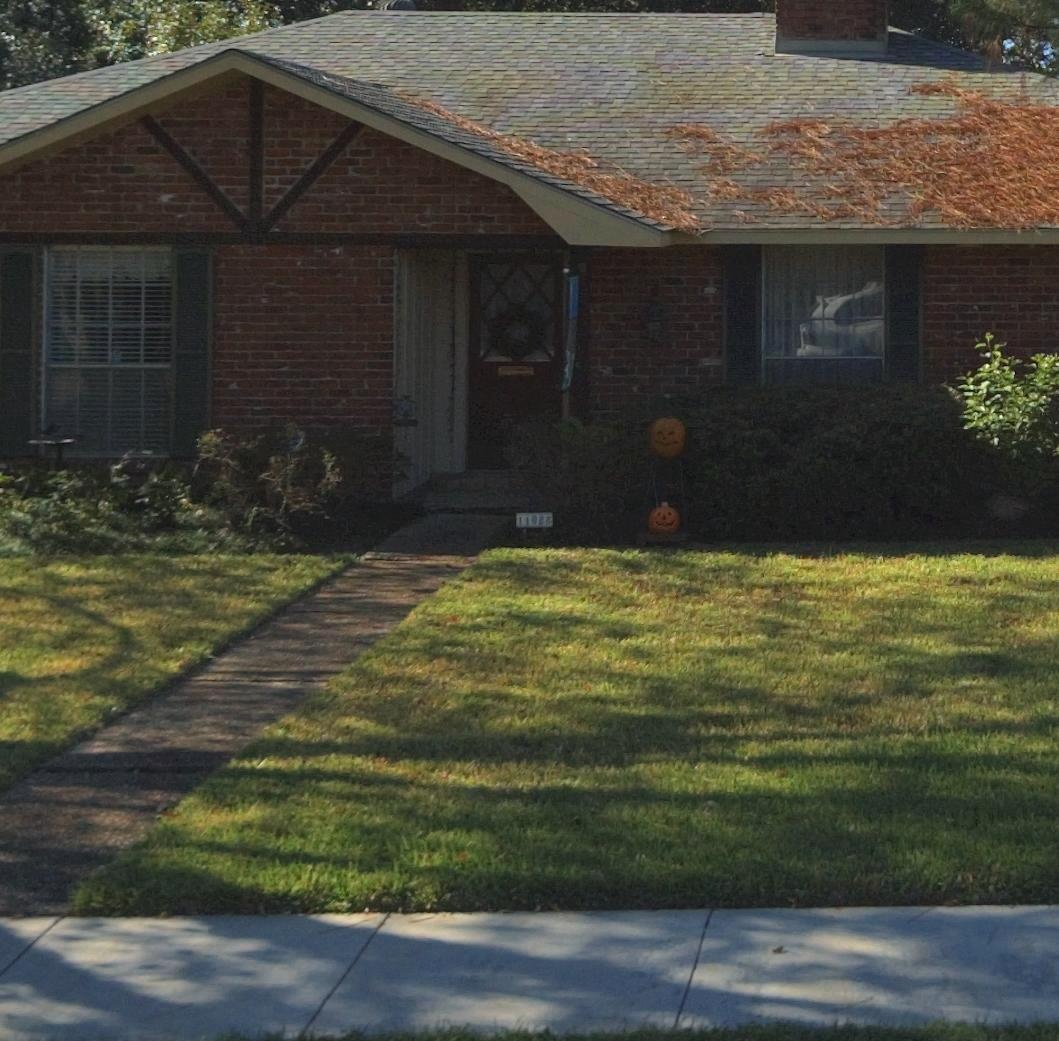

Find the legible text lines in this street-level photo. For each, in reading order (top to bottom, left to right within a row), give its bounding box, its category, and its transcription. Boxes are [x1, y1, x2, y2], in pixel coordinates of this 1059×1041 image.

[517, 512, 553, 528] StreetNumber: 110**